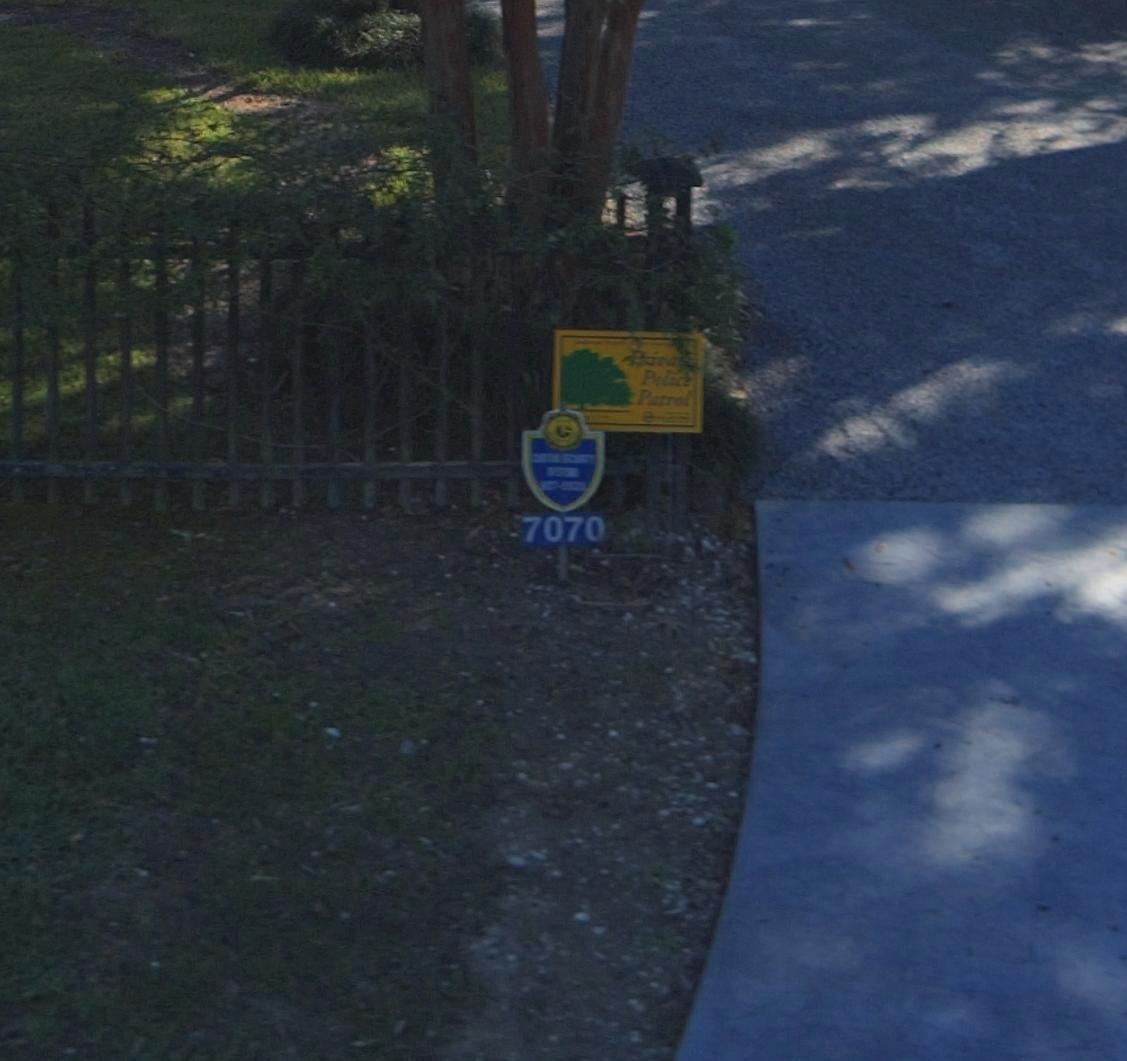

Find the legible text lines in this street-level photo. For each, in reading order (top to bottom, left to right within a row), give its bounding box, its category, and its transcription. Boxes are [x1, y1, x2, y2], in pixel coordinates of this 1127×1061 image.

[639, 367, 693, 388] None: Polic*
[636, 388, 694, 408] None: Patrol
[521, 515, 607, 544] StreetNumber: 7070